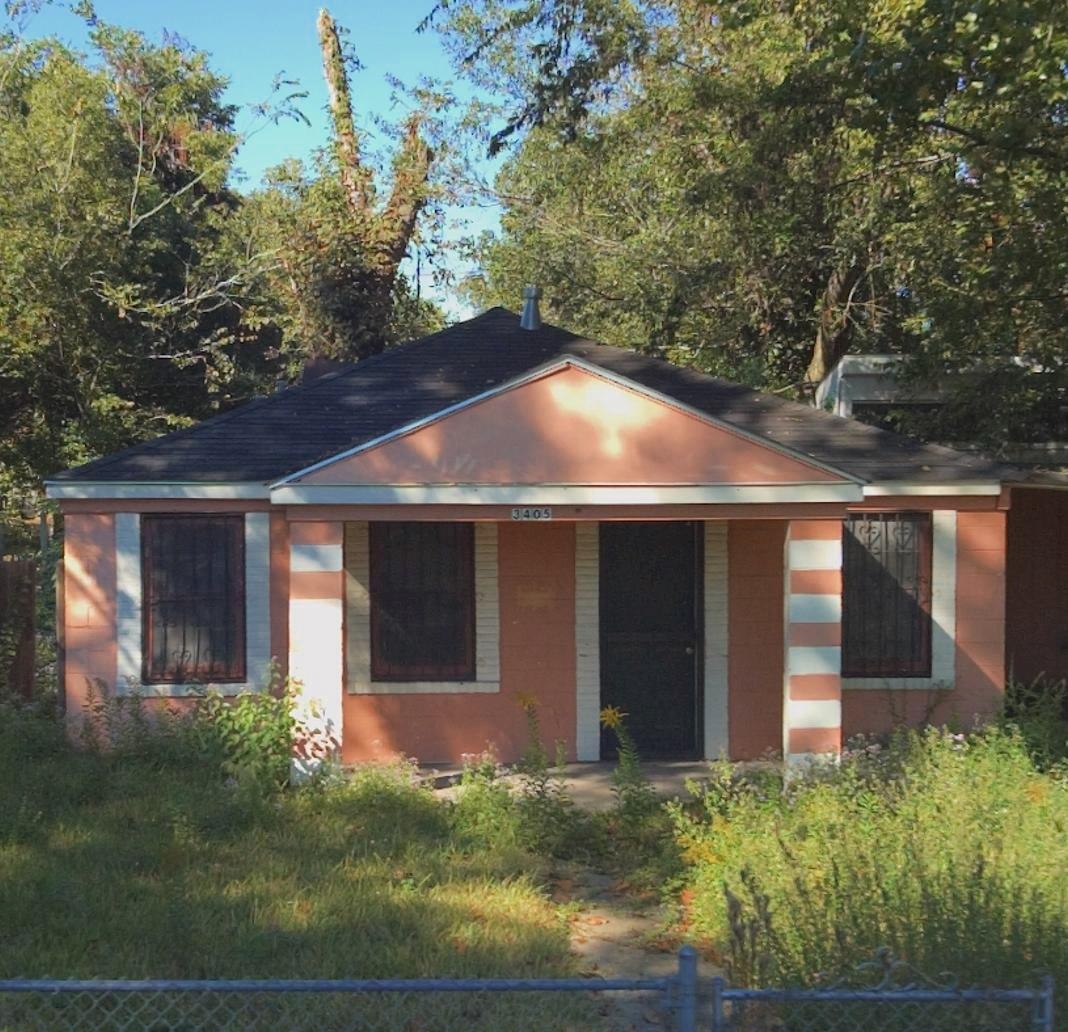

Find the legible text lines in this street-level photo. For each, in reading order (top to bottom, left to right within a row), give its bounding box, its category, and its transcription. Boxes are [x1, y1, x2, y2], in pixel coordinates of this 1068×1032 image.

[512, 508, 552, 521] StreetNumber: 3405